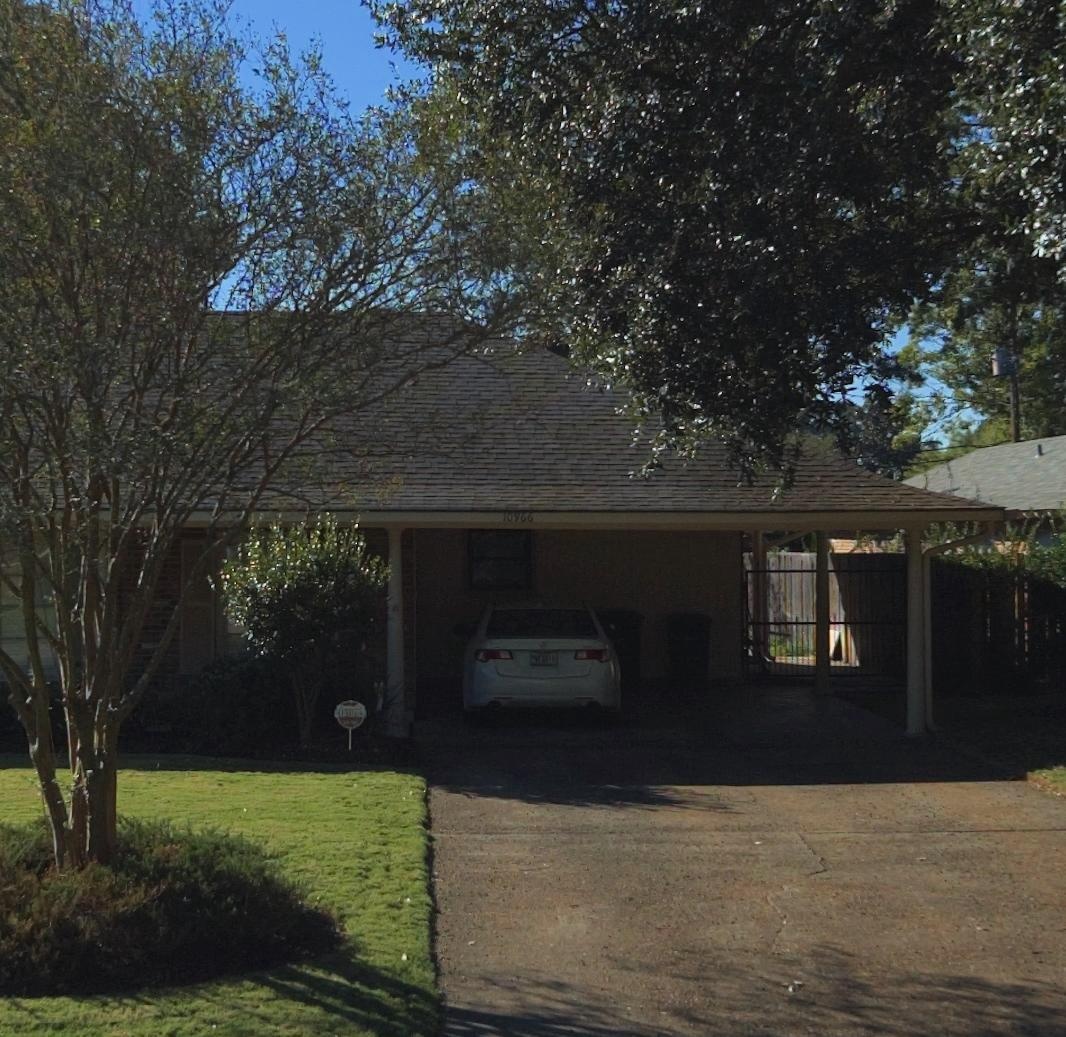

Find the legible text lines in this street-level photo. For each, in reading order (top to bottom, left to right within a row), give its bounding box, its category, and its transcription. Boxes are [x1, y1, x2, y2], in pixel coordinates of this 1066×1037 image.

[501, 510, 535, 524] StreetNumber: 10966